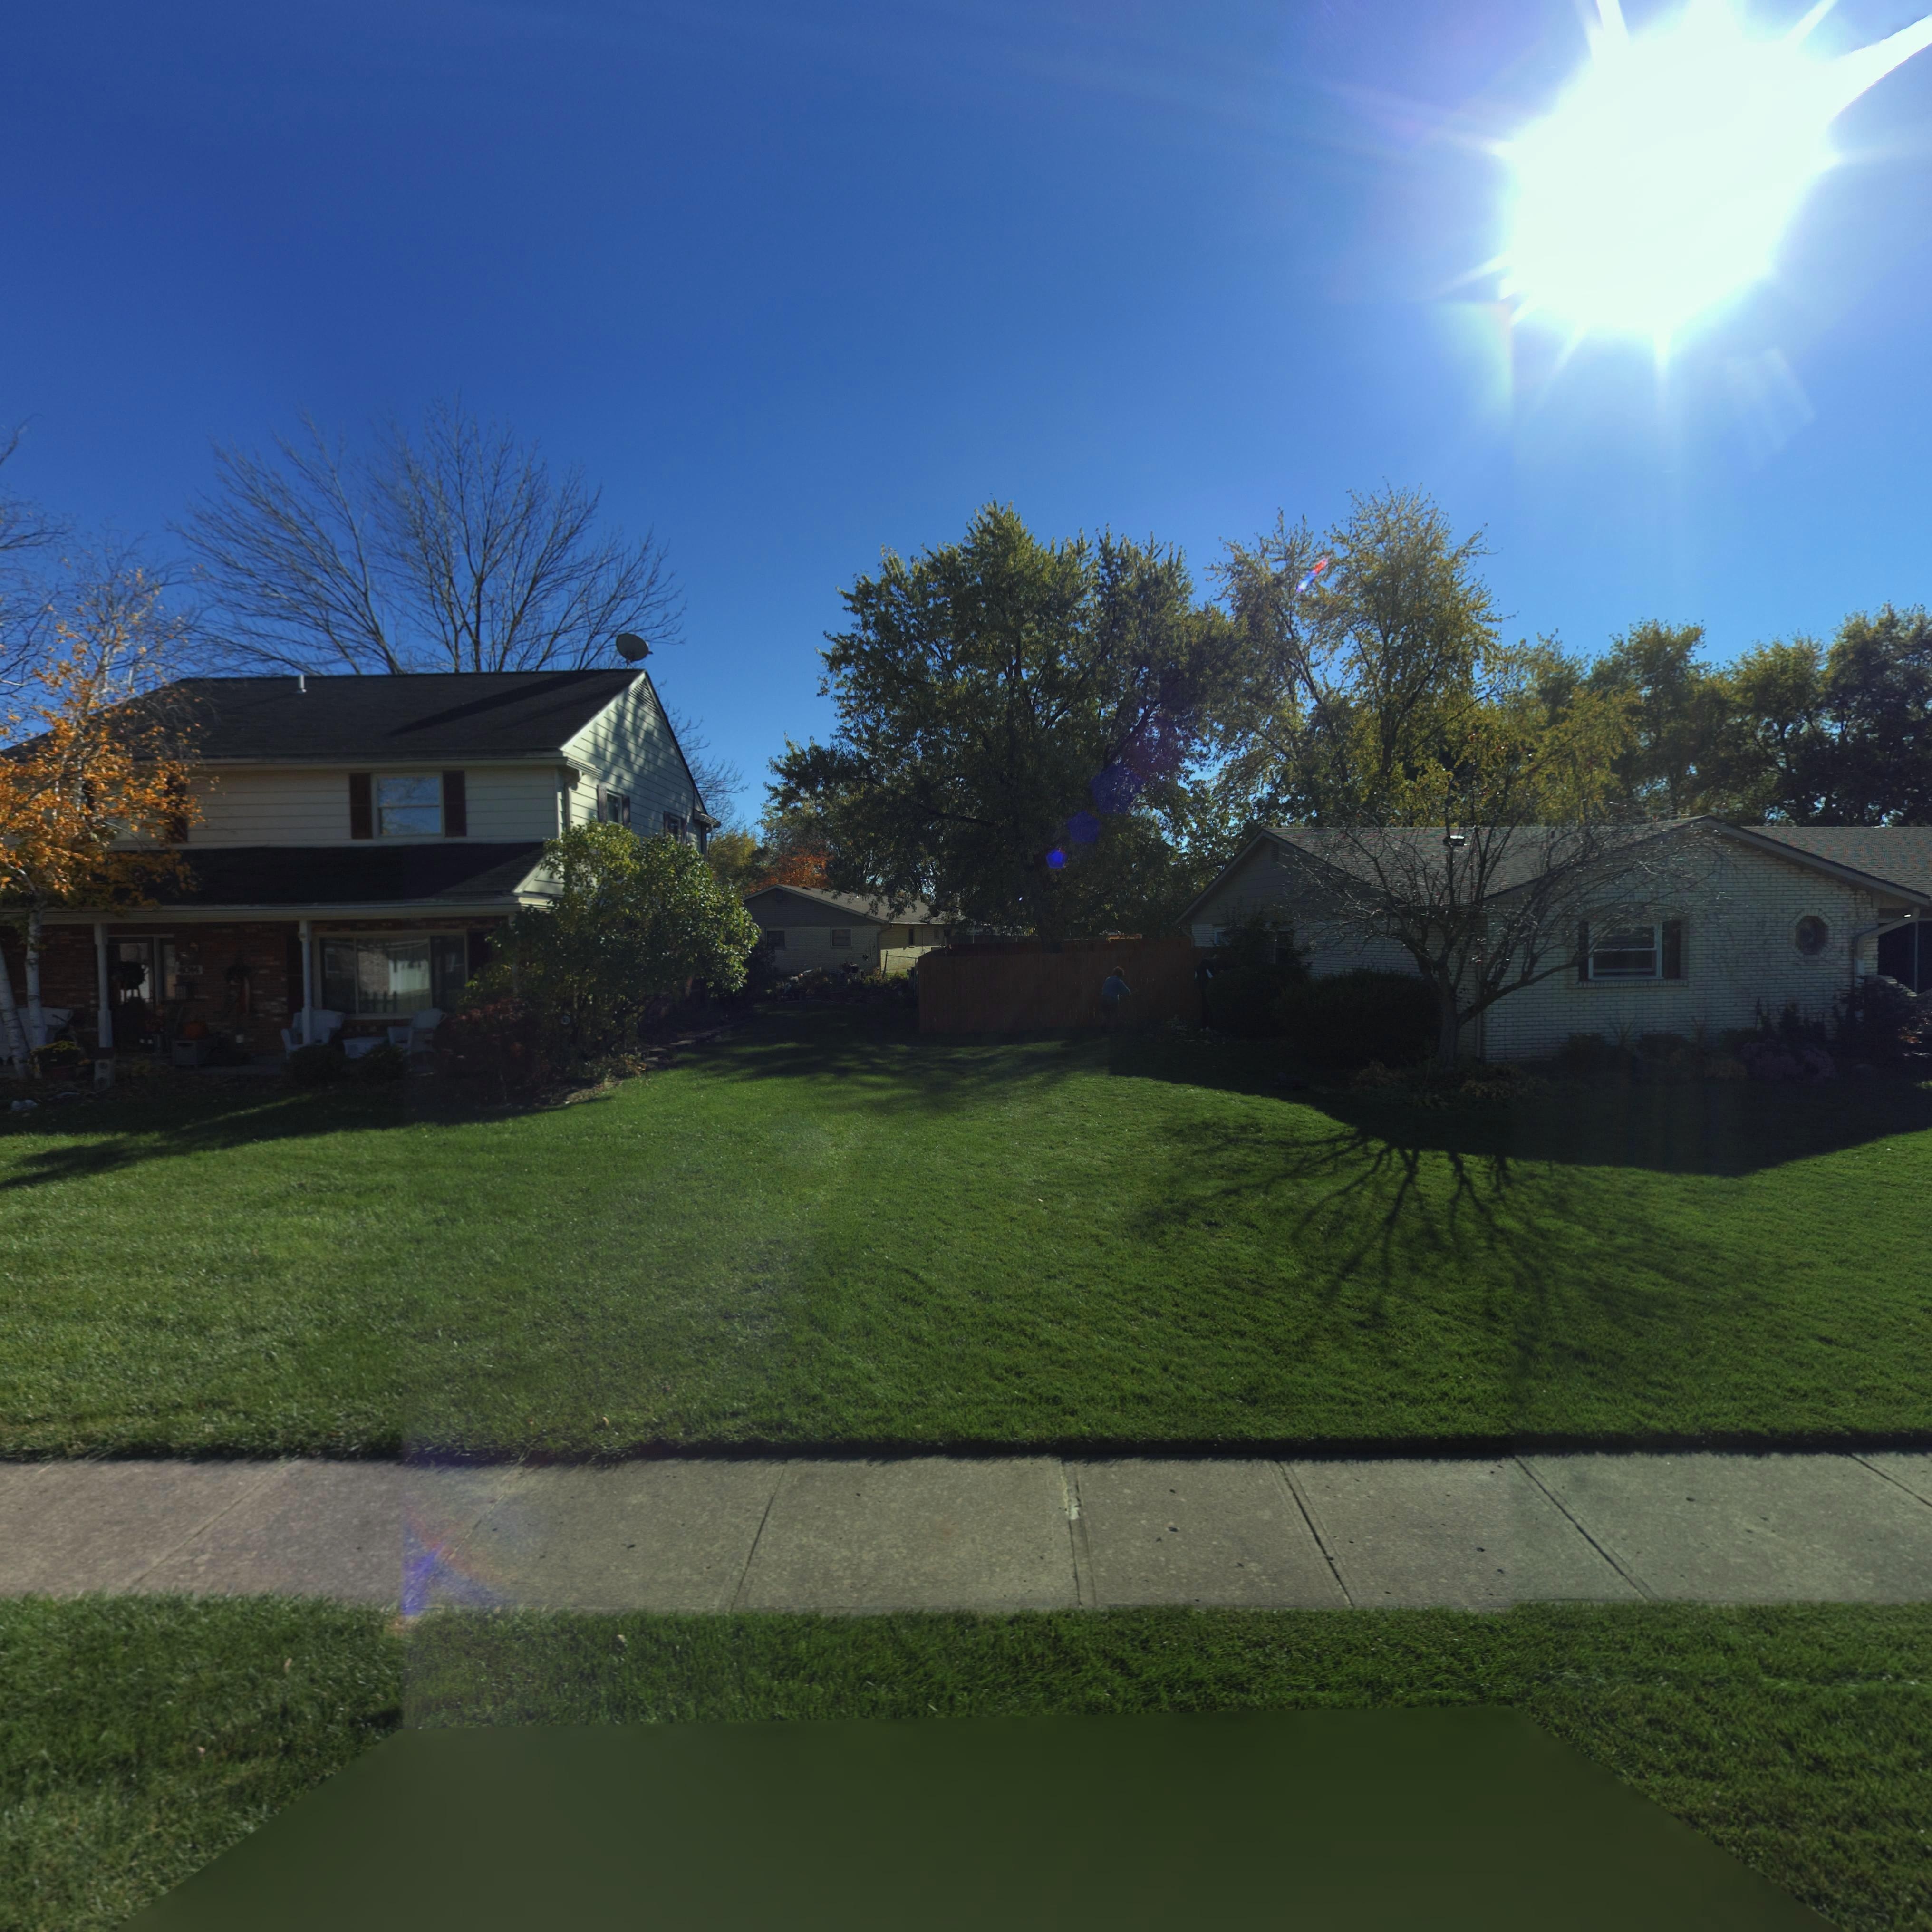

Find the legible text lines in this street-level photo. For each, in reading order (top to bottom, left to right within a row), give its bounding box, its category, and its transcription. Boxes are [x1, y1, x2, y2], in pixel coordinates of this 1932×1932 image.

[177, 966, 200, 974] StreetNumber: 4014